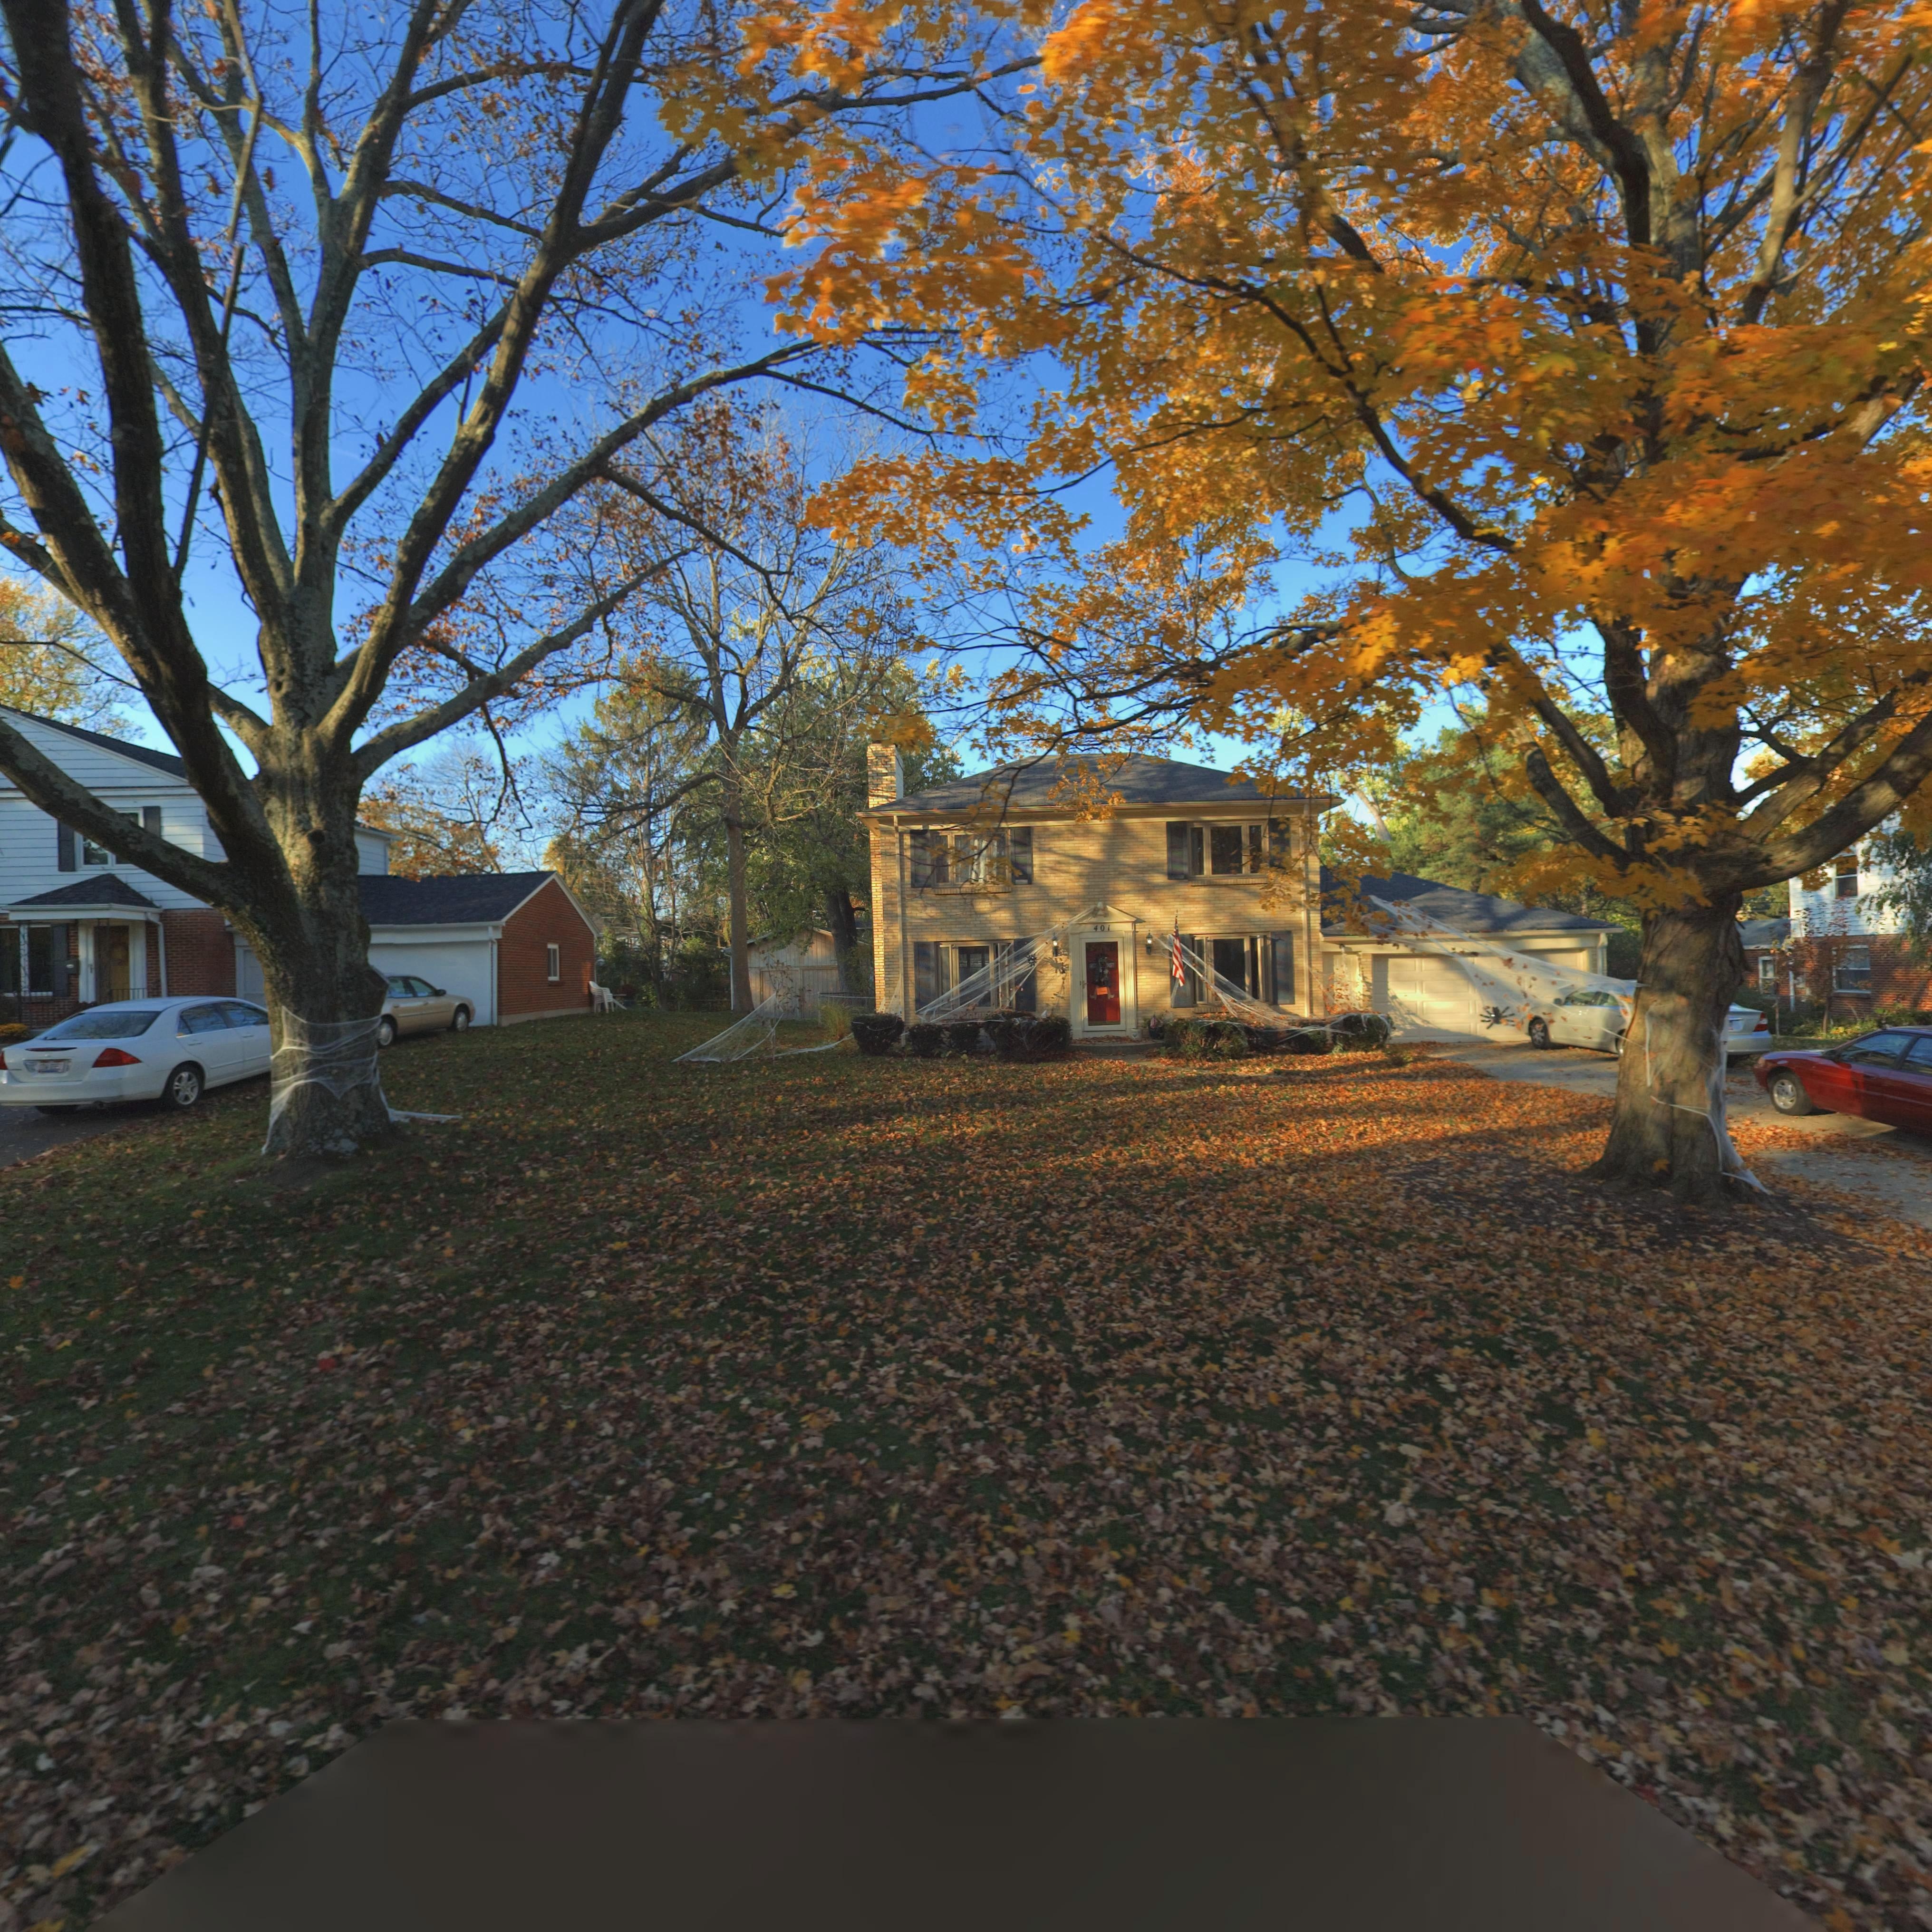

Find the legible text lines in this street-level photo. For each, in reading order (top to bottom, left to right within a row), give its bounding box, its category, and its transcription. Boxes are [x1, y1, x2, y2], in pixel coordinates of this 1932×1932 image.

[1093, 924, 1111, 932] StreetNumber: 401